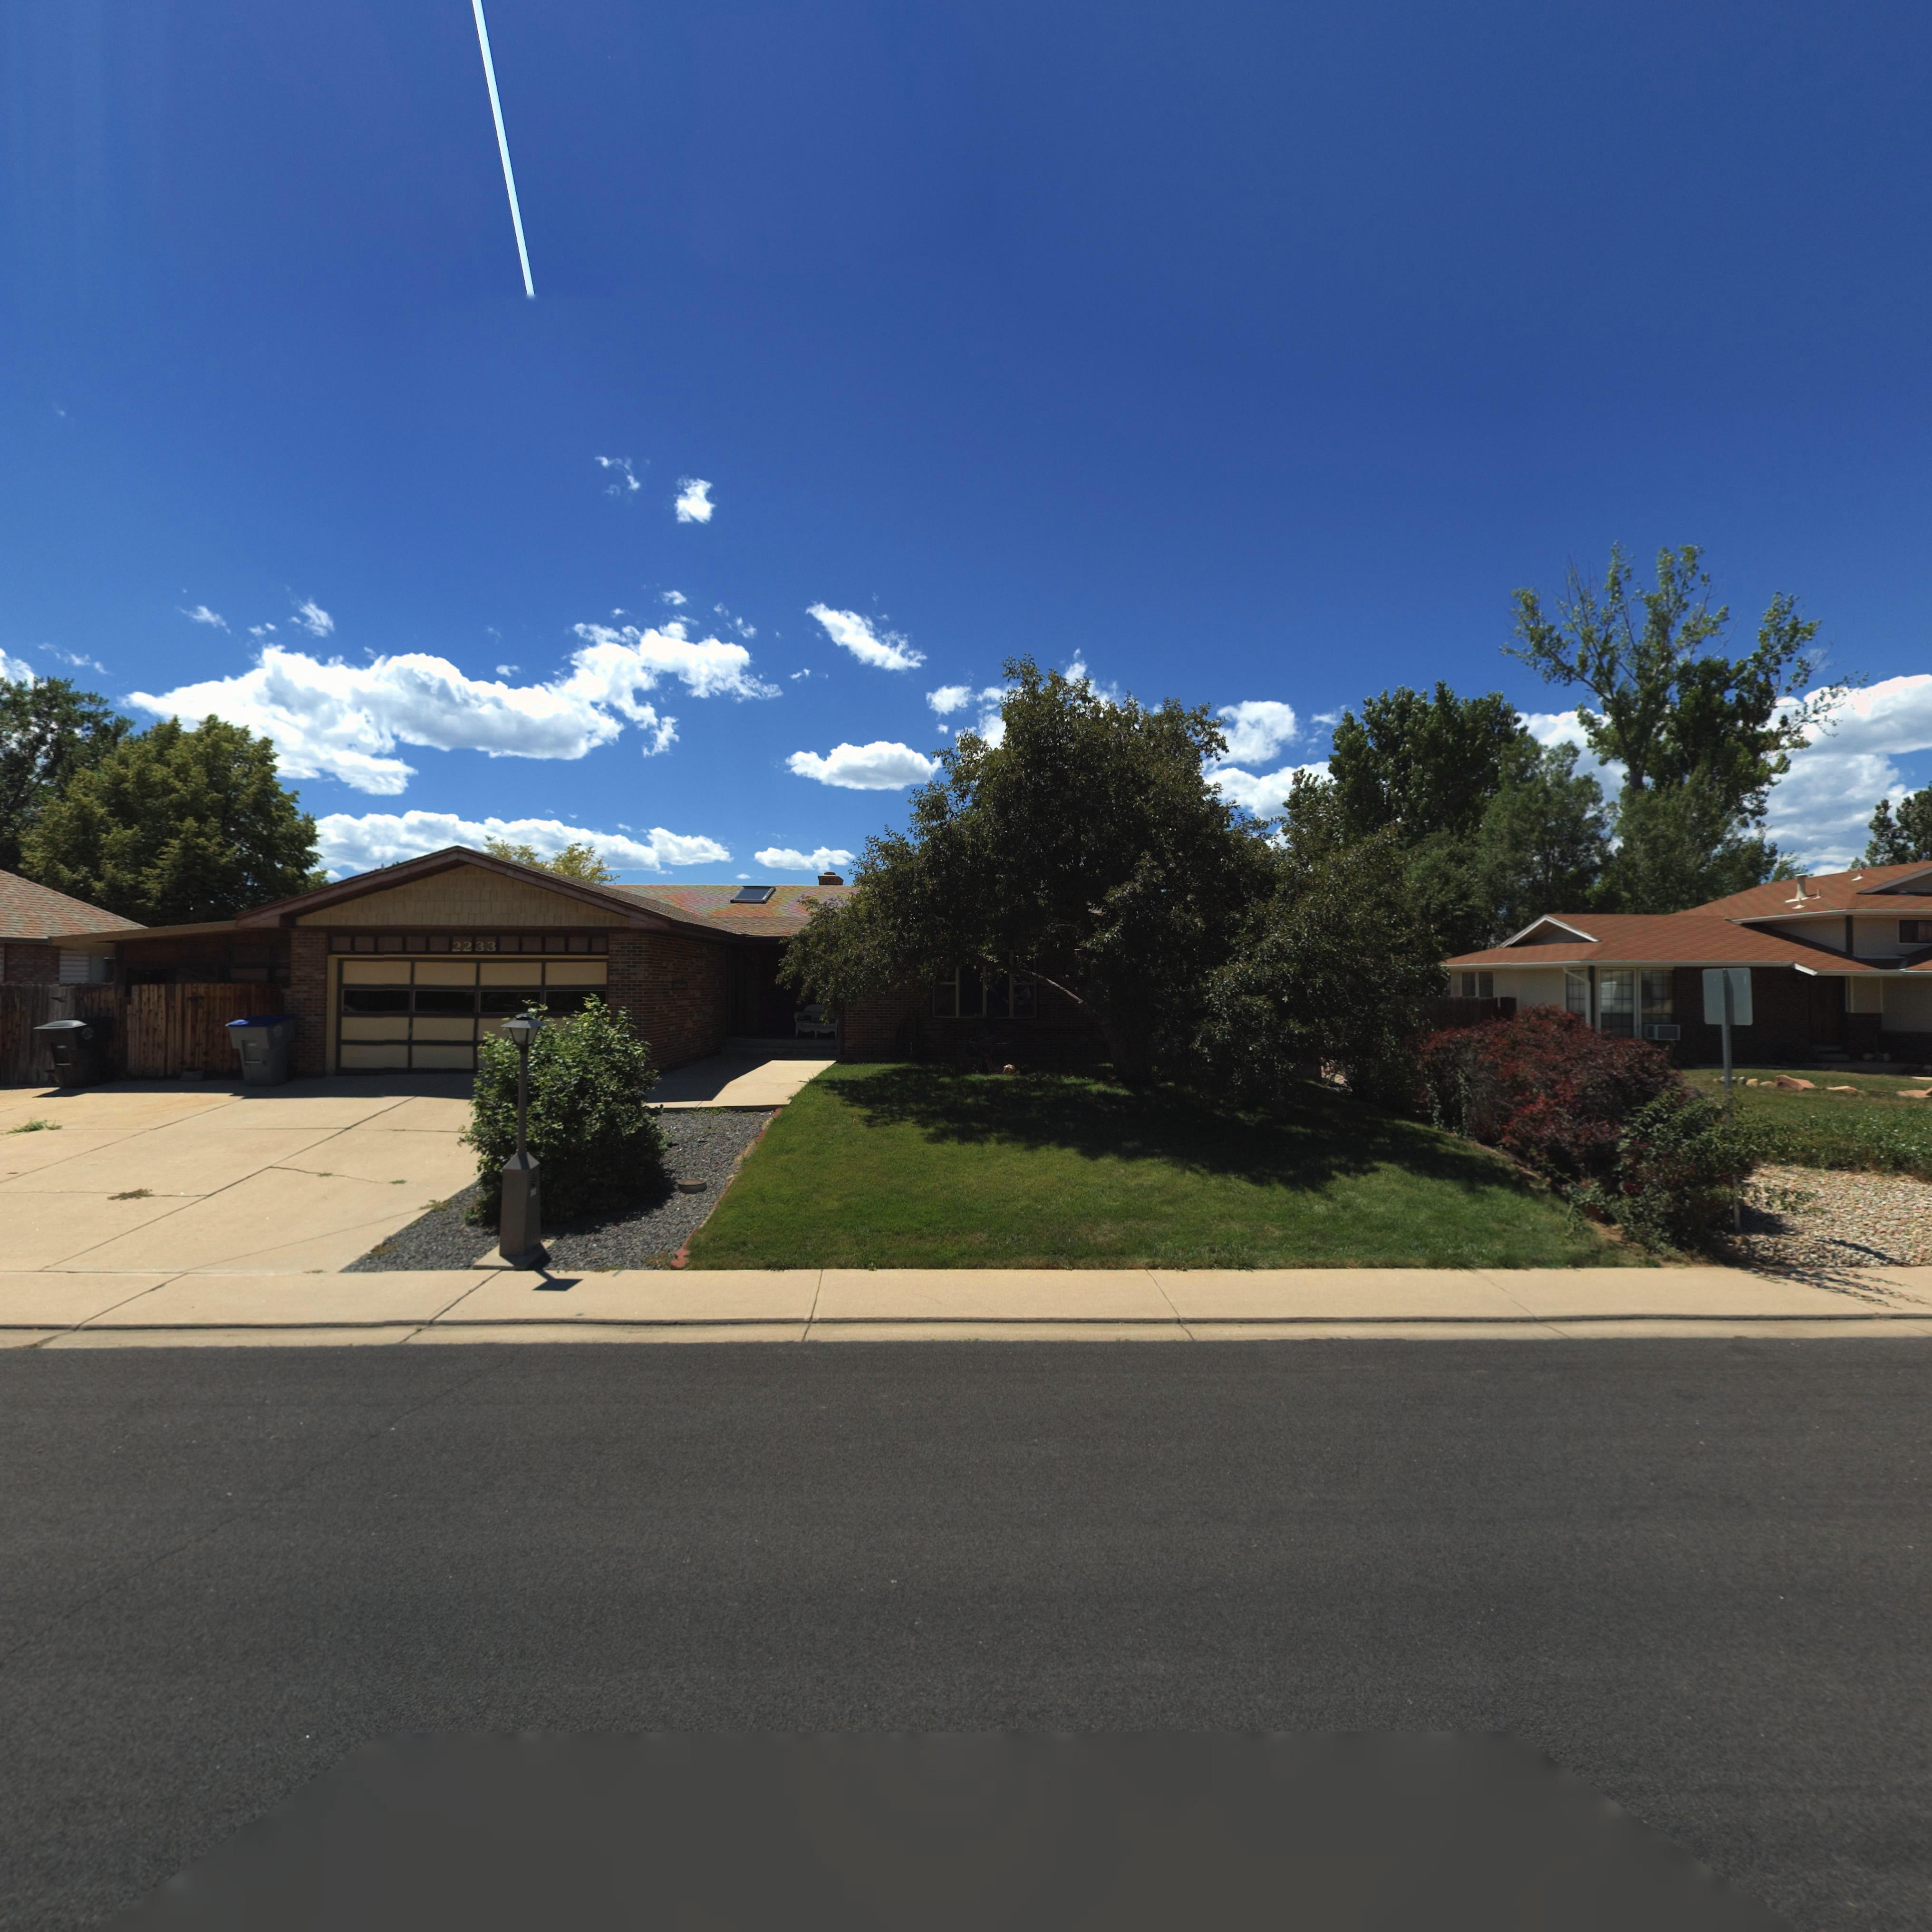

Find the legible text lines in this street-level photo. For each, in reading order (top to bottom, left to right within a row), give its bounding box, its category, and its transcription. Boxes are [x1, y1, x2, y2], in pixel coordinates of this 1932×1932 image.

[450, 940, 496, 952] StreetNumber: 2233